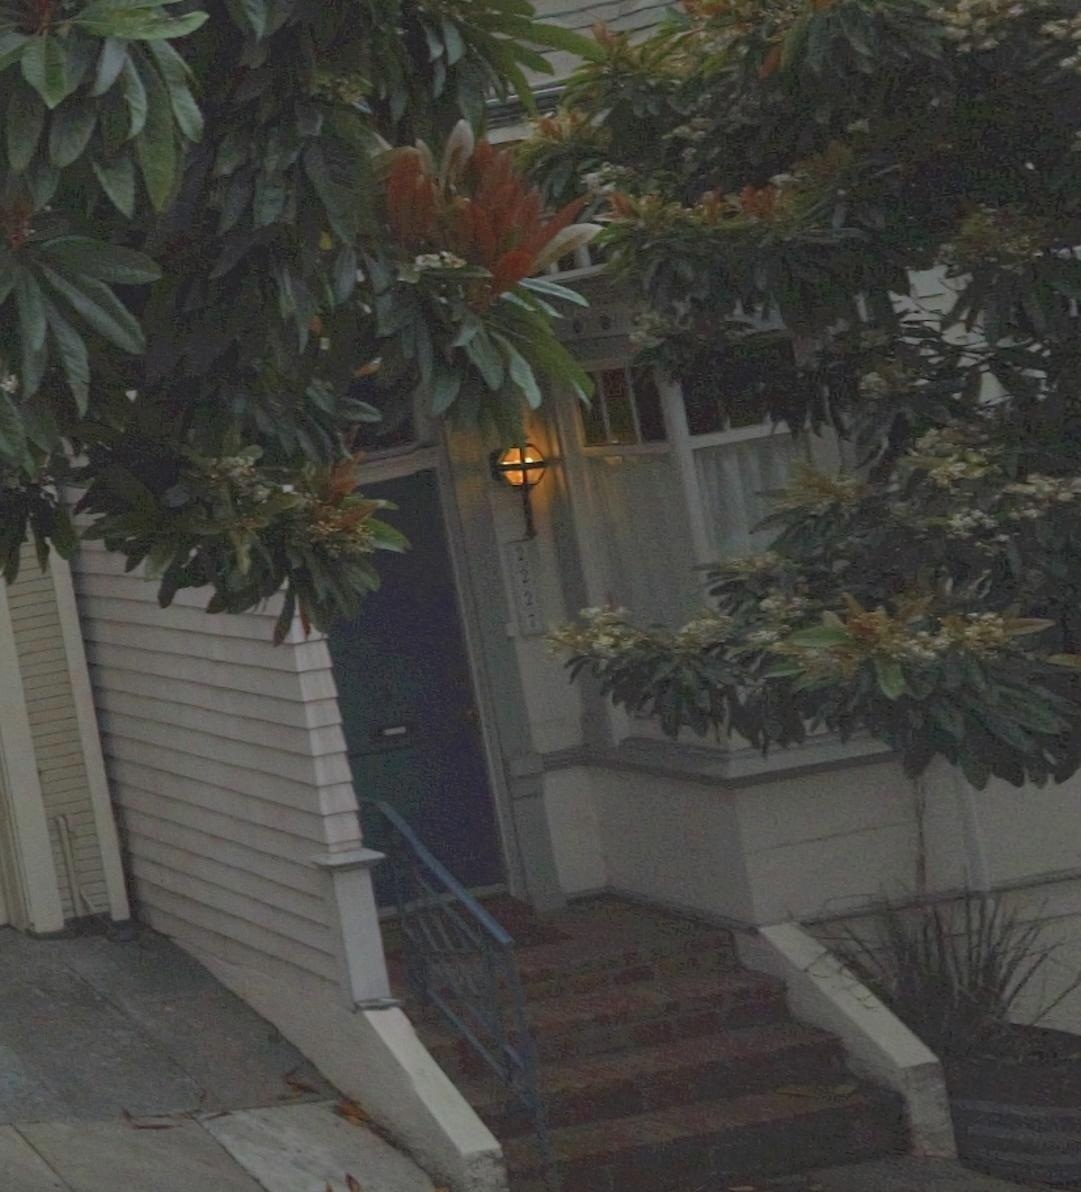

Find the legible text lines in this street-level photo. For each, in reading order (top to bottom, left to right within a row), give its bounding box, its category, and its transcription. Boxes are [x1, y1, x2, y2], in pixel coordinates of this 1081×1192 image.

[514, 545, 538, 630] StreetNumber: 2227